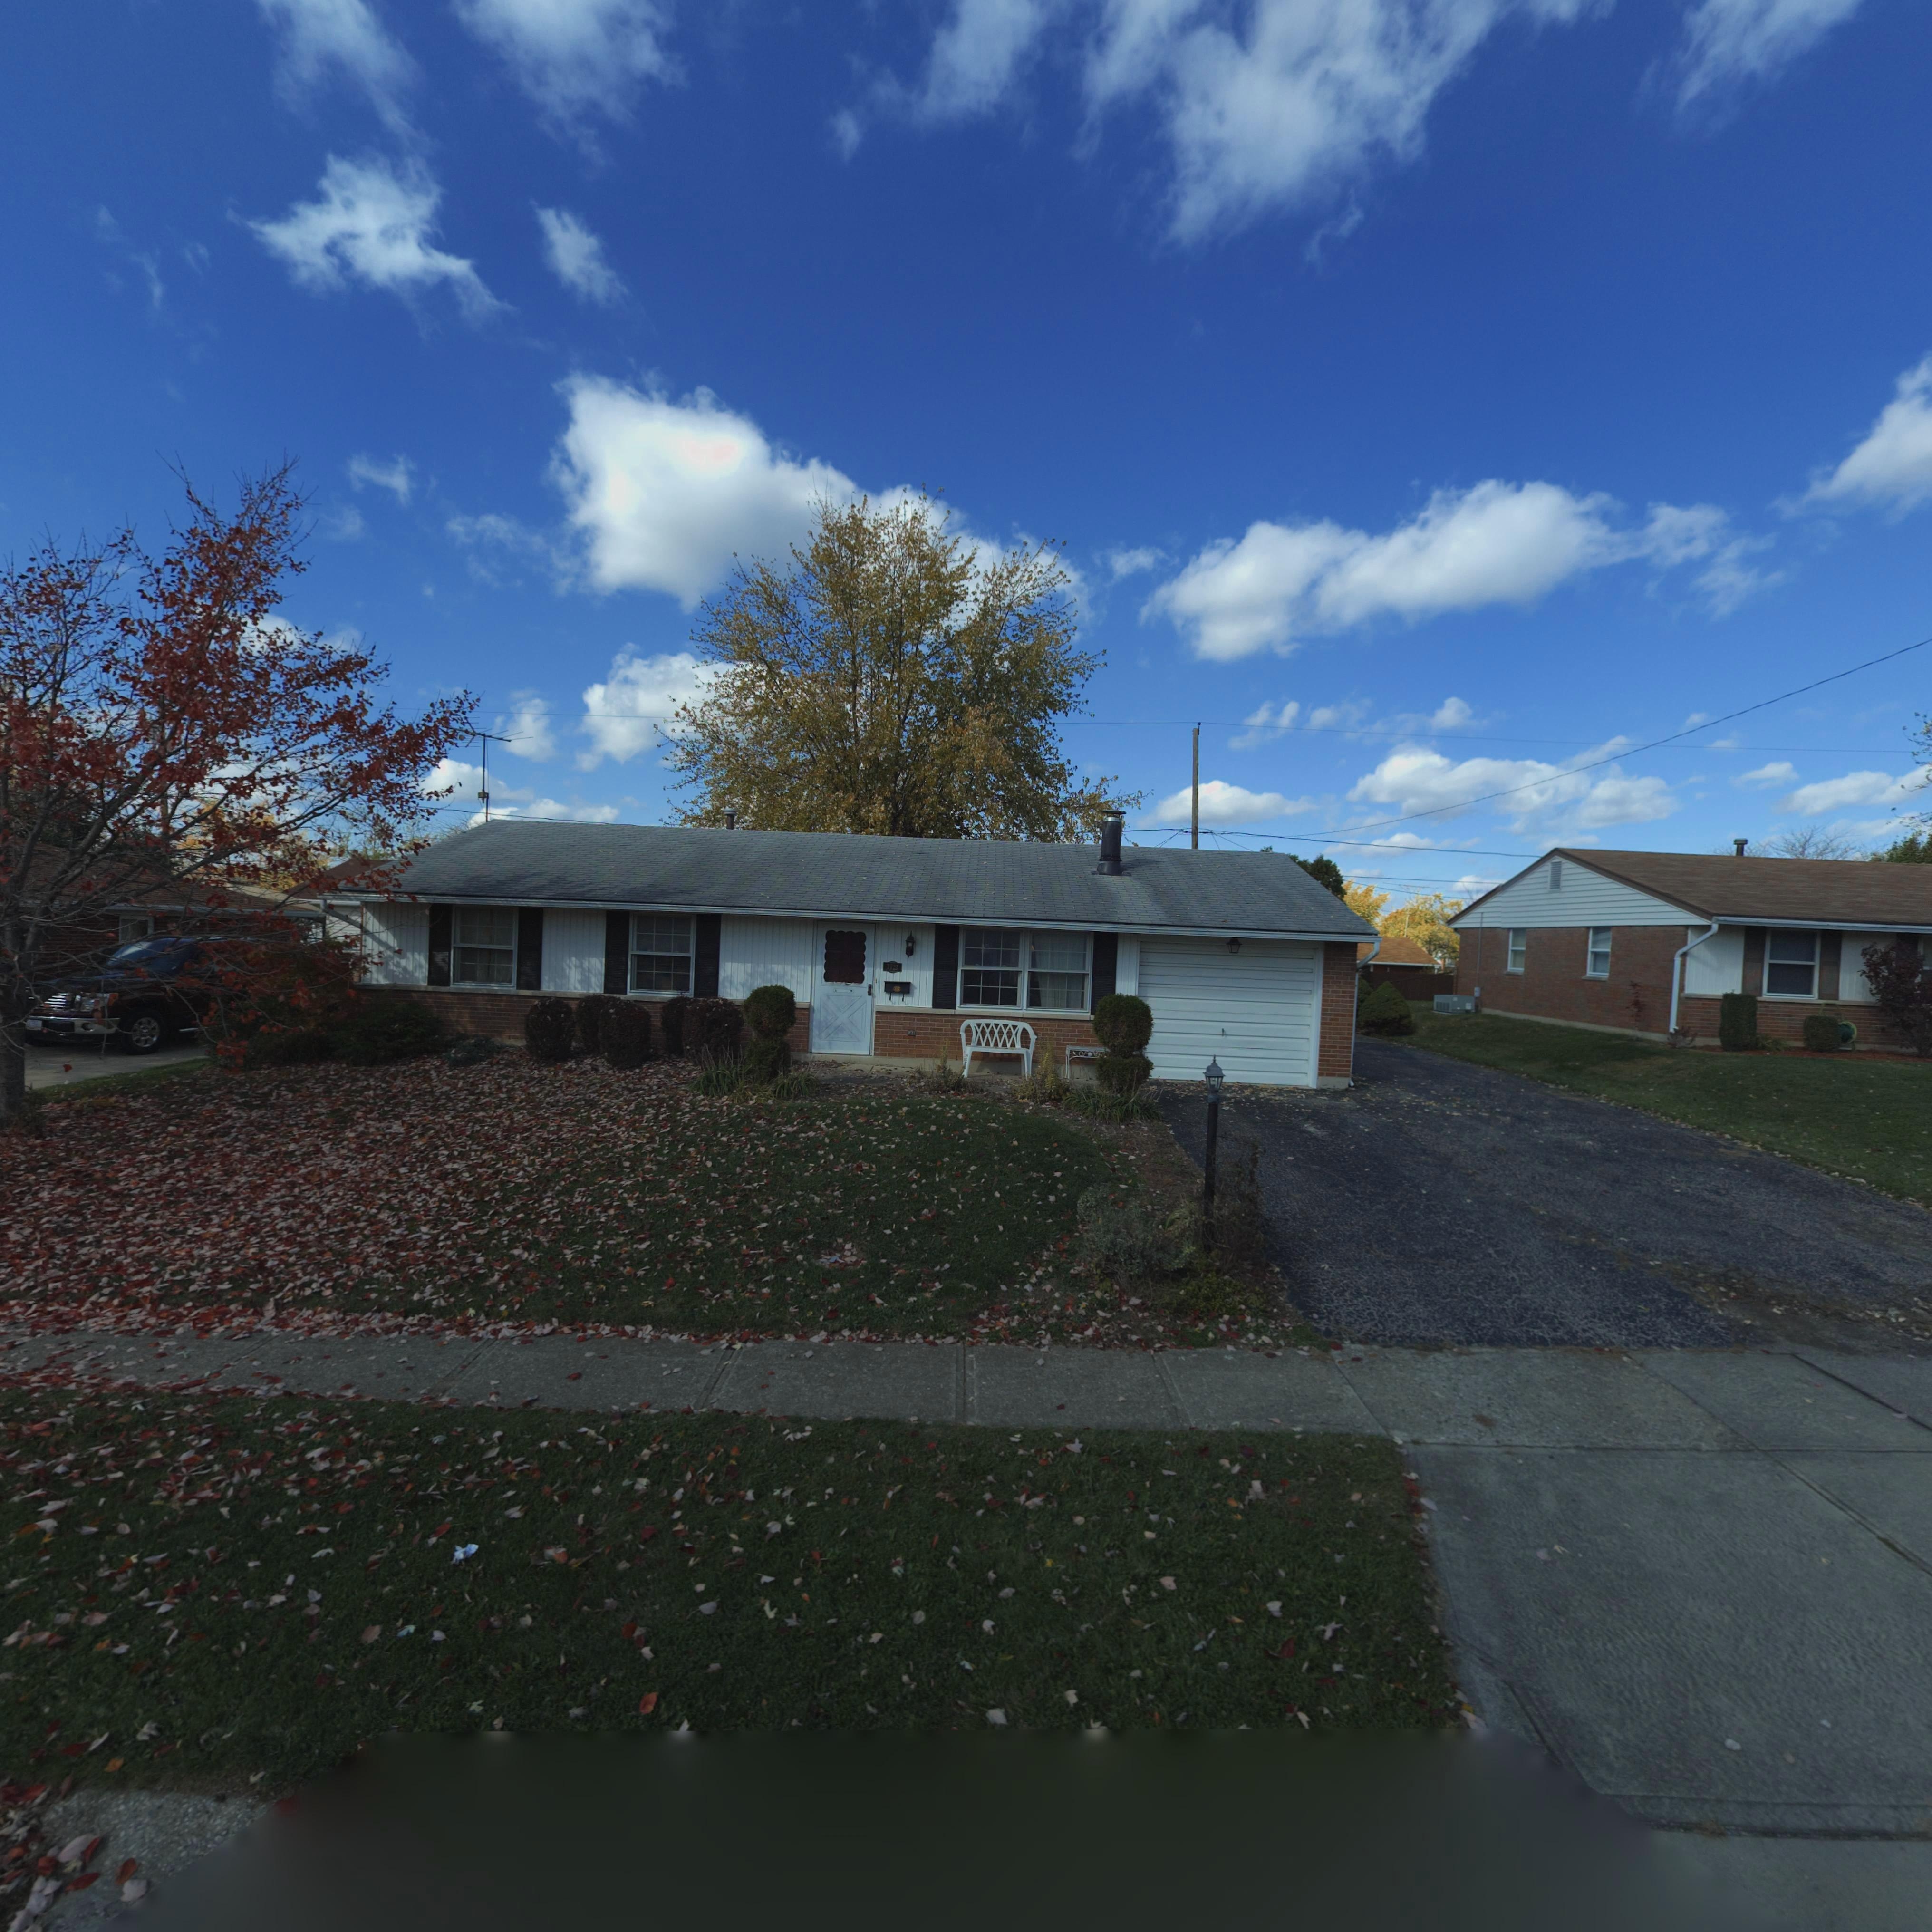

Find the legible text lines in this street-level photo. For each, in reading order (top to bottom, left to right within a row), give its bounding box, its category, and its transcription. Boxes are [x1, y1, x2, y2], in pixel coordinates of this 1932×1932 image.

[886, 963, 898, 970] StreetNumber: 7721